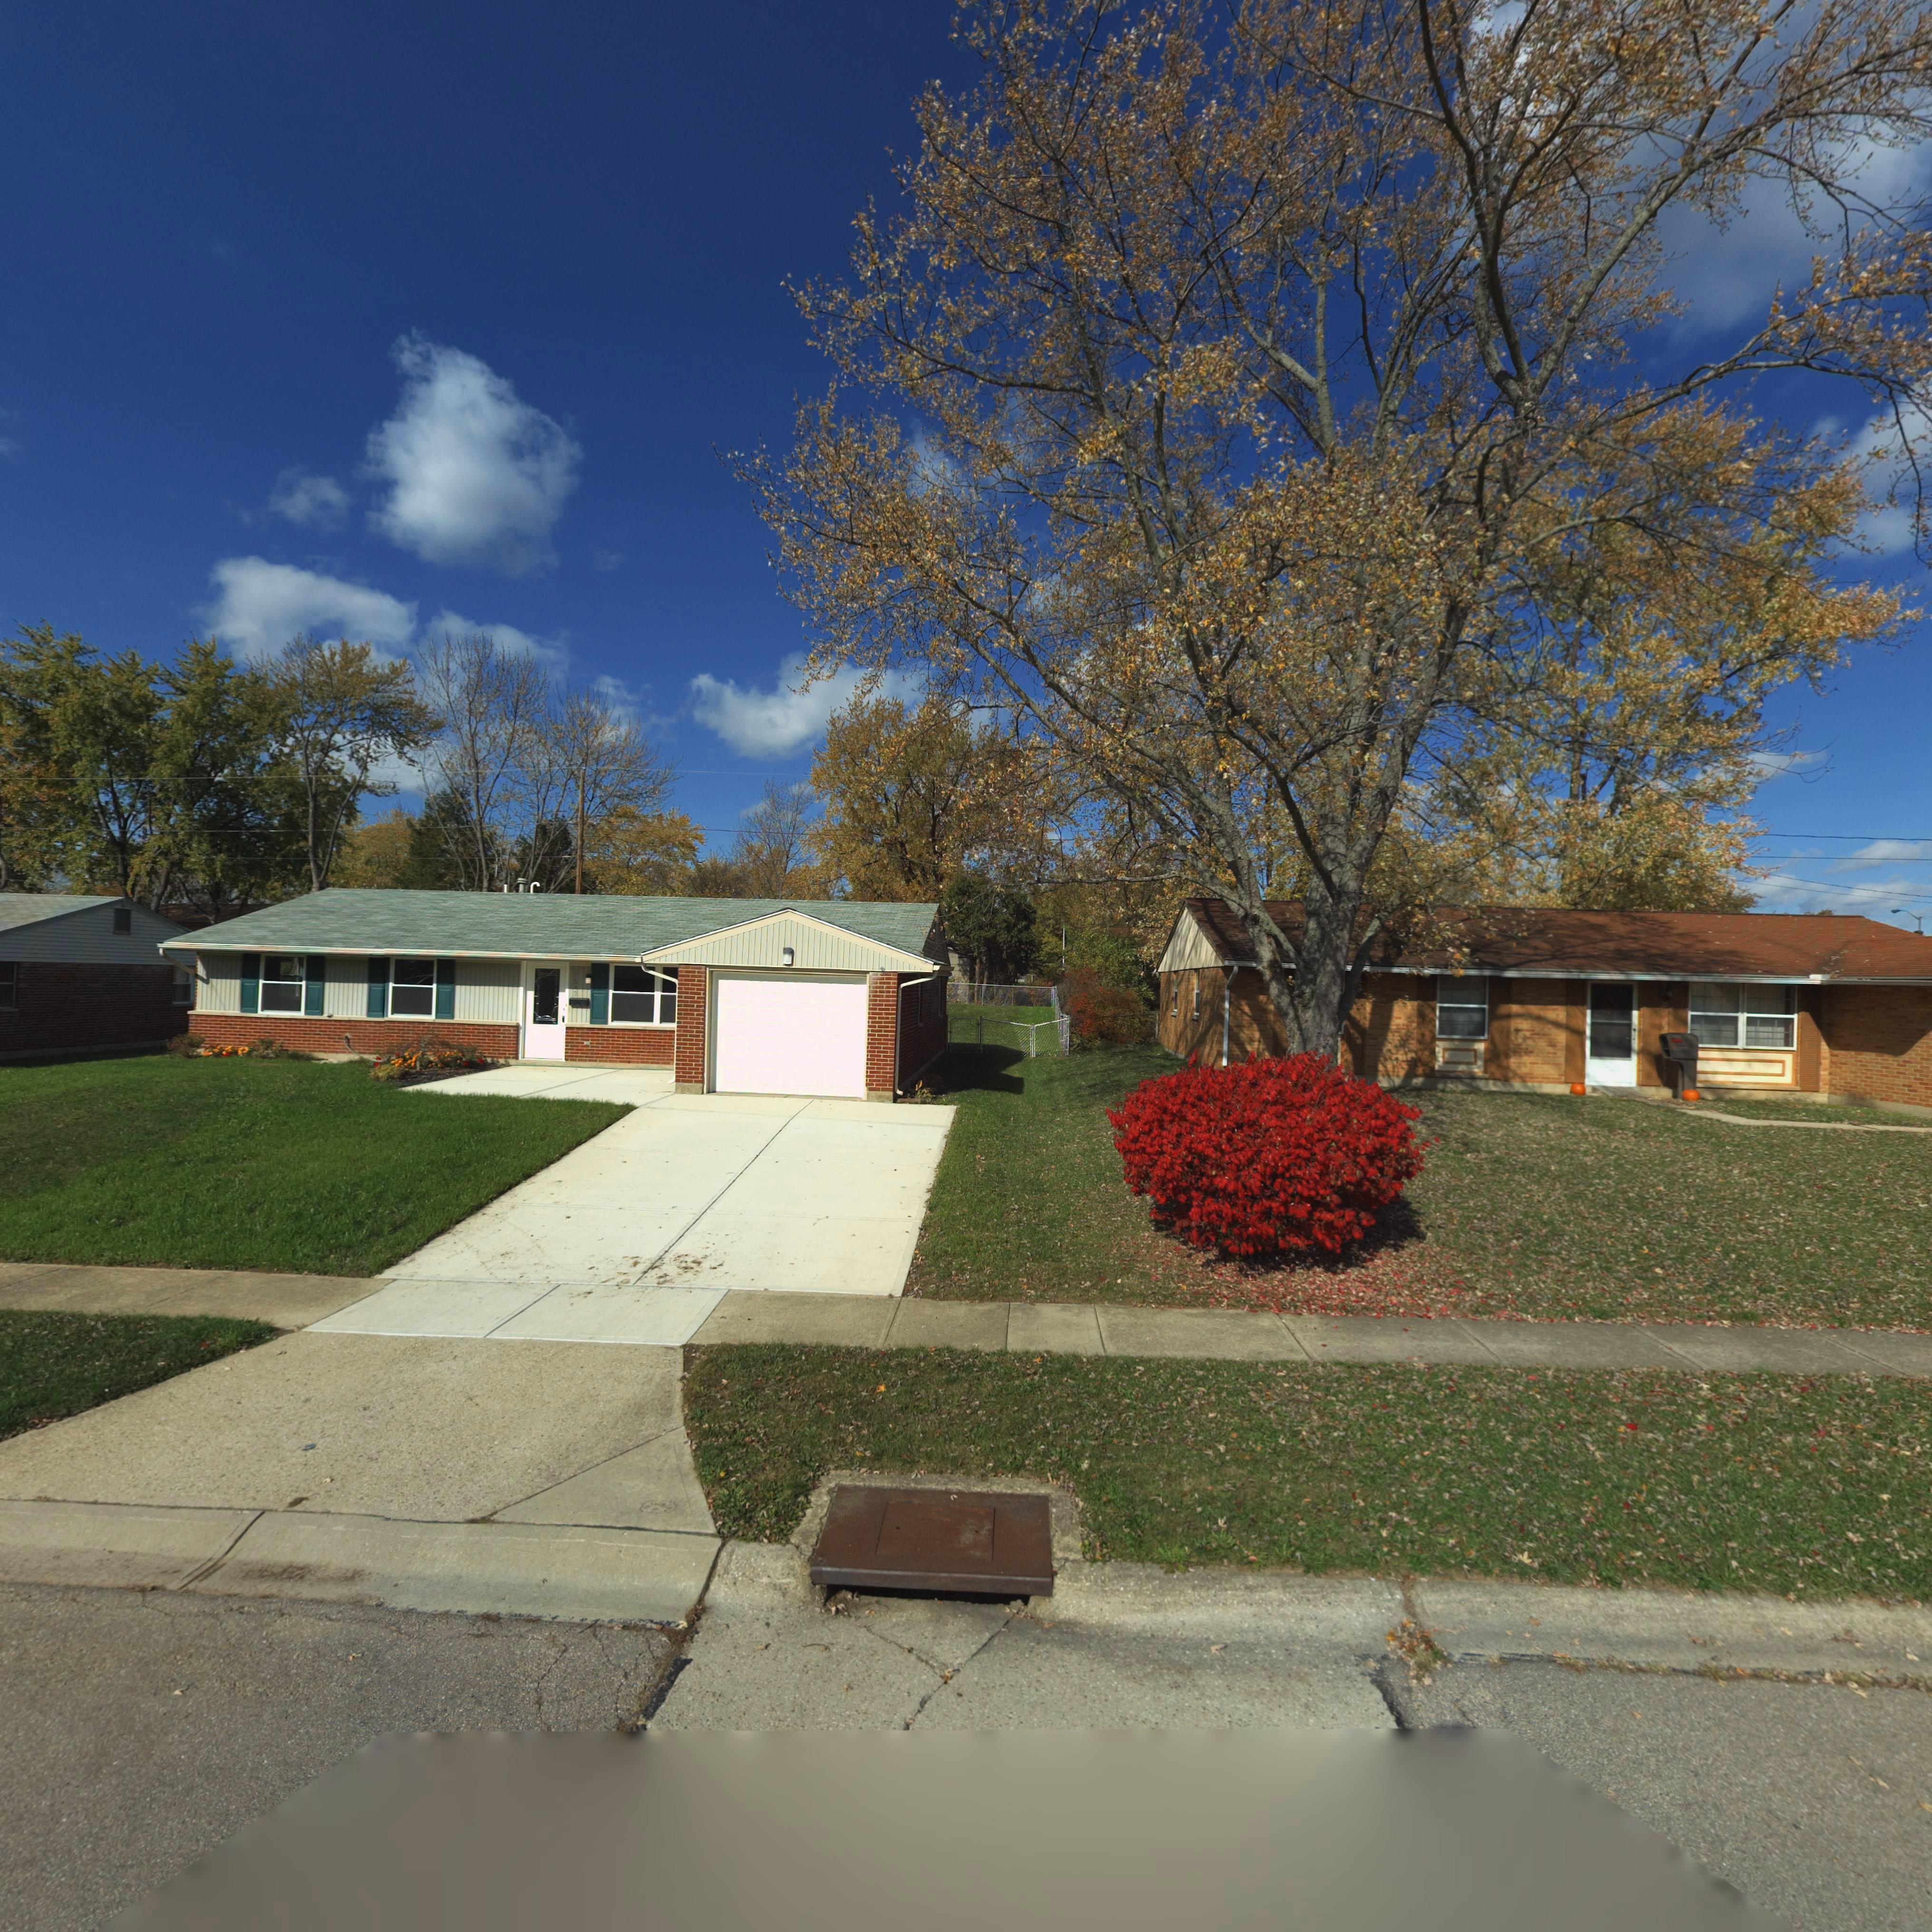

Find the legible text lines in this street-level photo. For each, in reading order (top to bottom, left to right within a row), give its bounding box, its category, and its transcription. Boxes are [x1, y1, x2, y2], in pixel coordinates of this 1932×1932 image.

[573, 972, 578, 997] StreetNumber: 7543